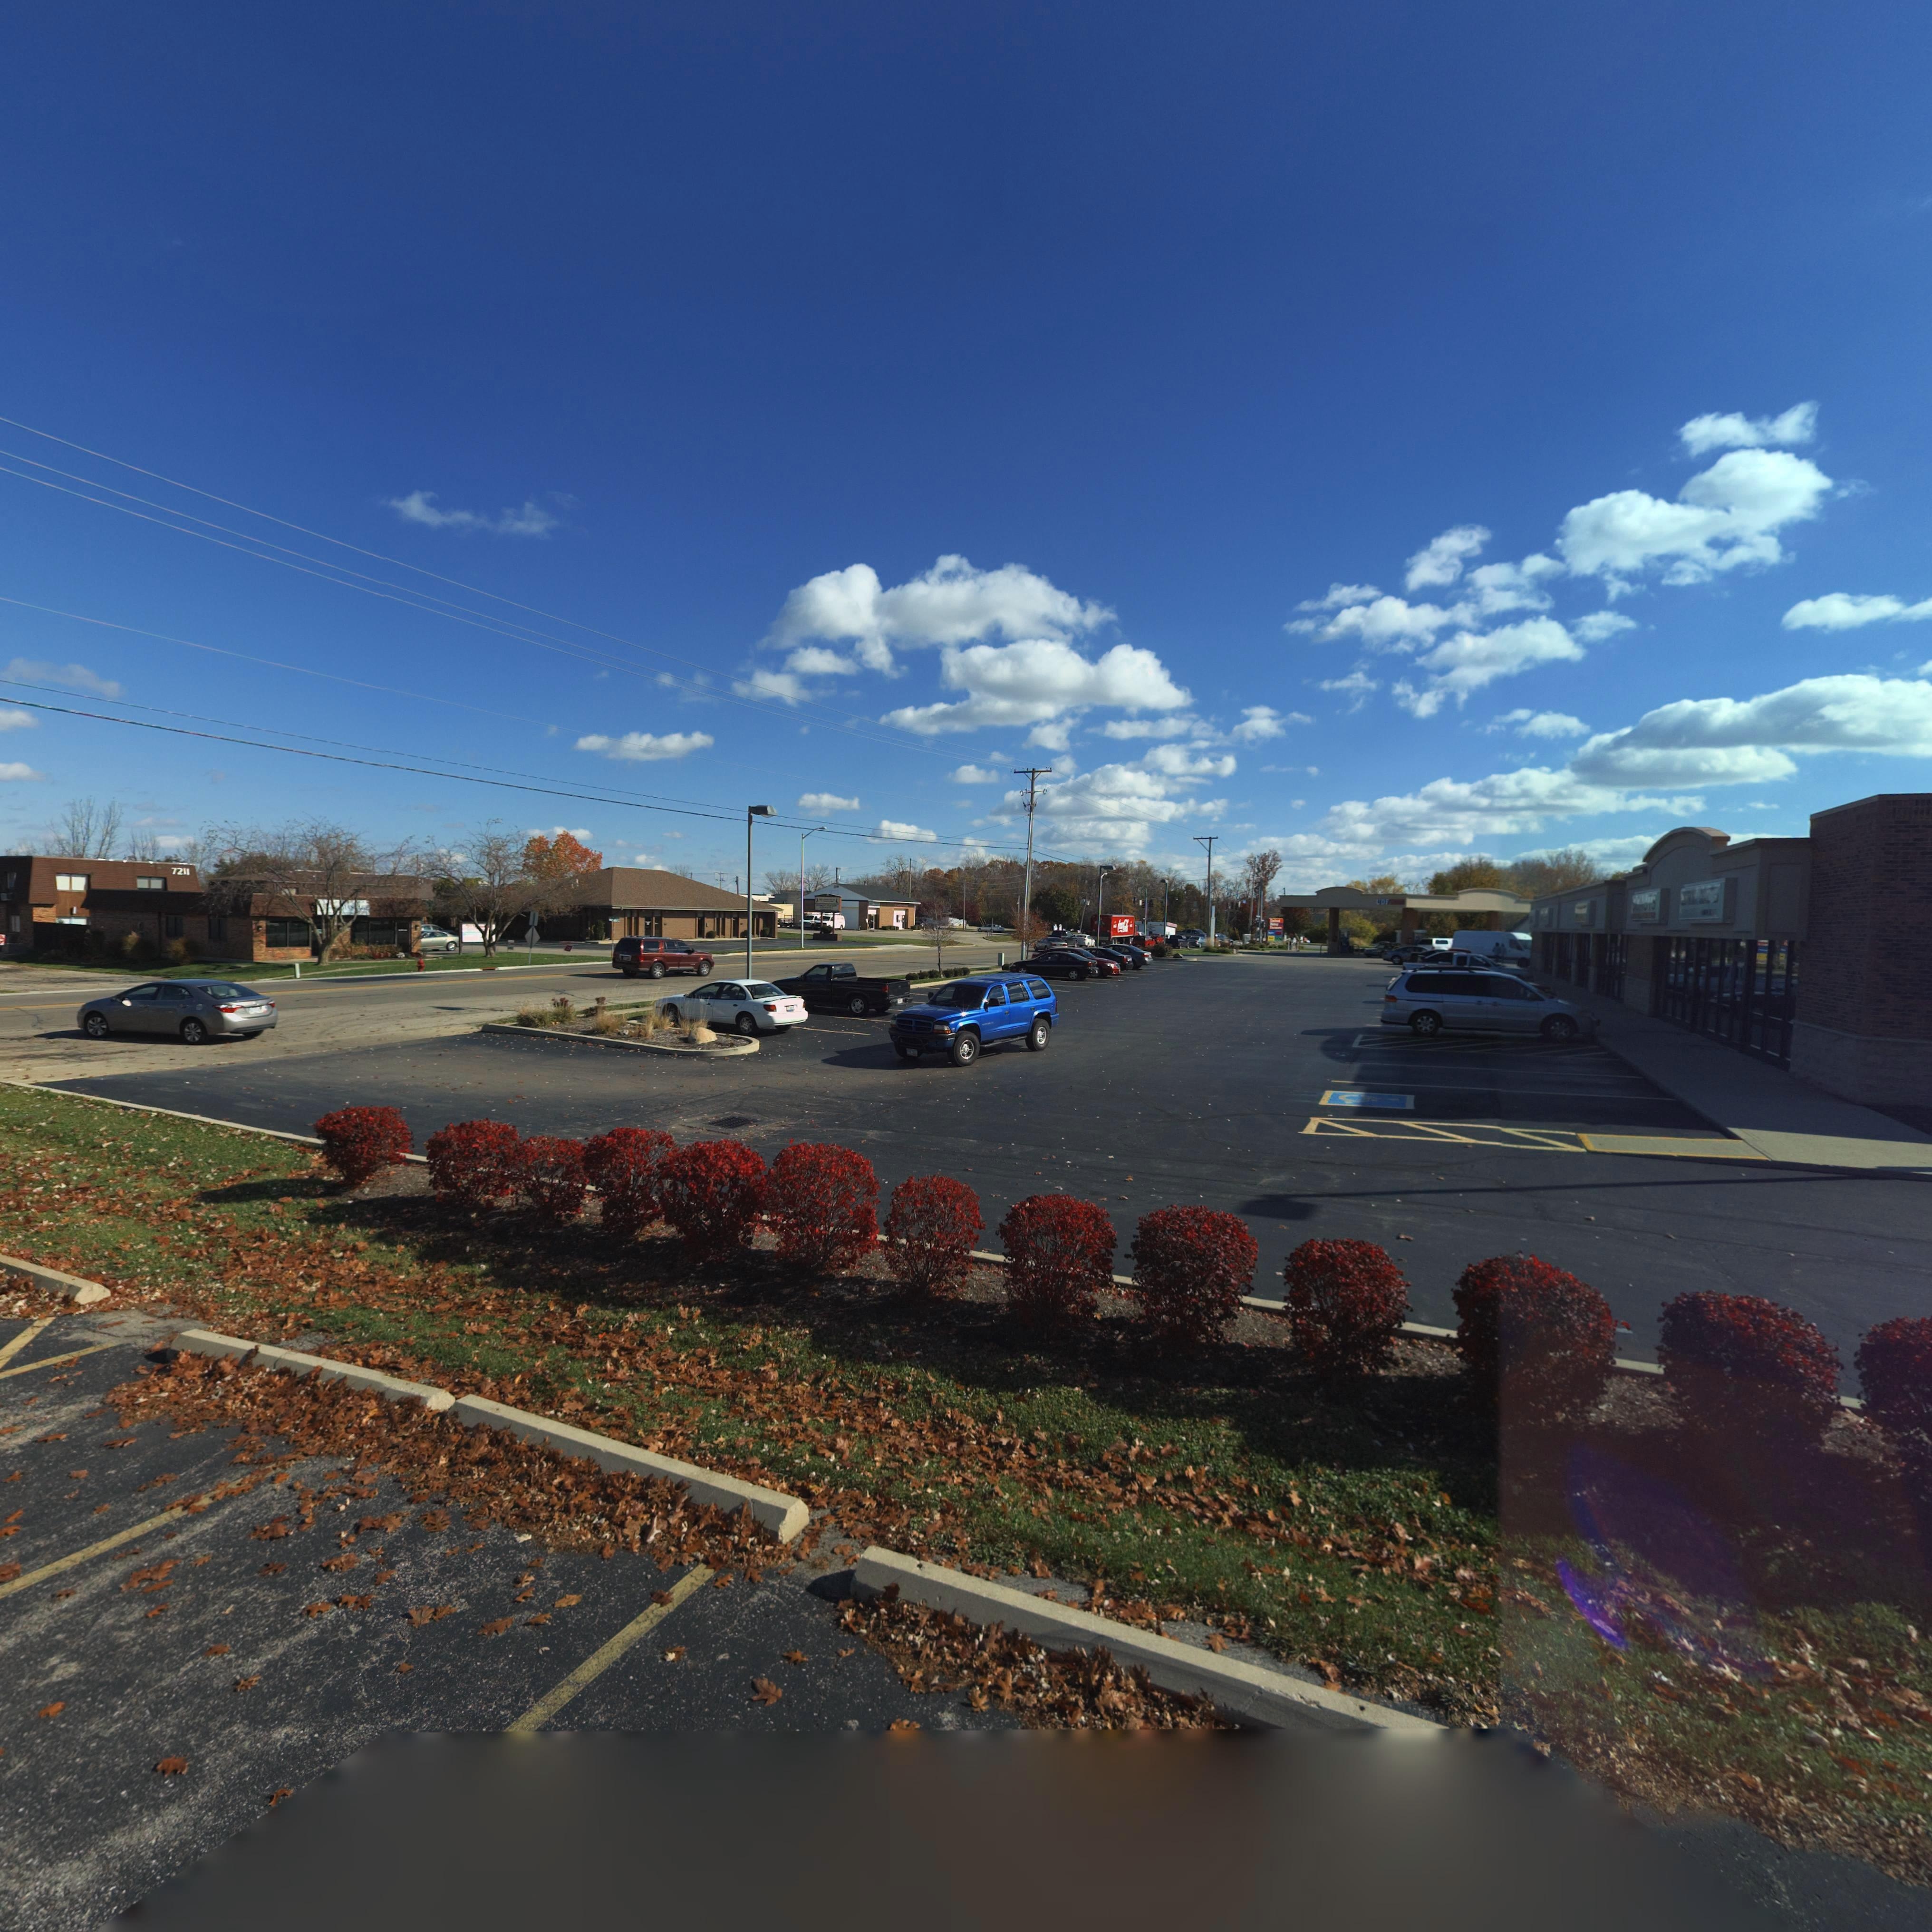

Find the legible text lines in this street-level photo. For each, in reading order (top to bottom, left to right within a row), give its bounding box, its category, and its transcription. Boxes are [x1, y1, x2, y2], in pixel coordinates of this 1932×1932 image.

[169, 866, 191, 877] StreetNumber: 7211